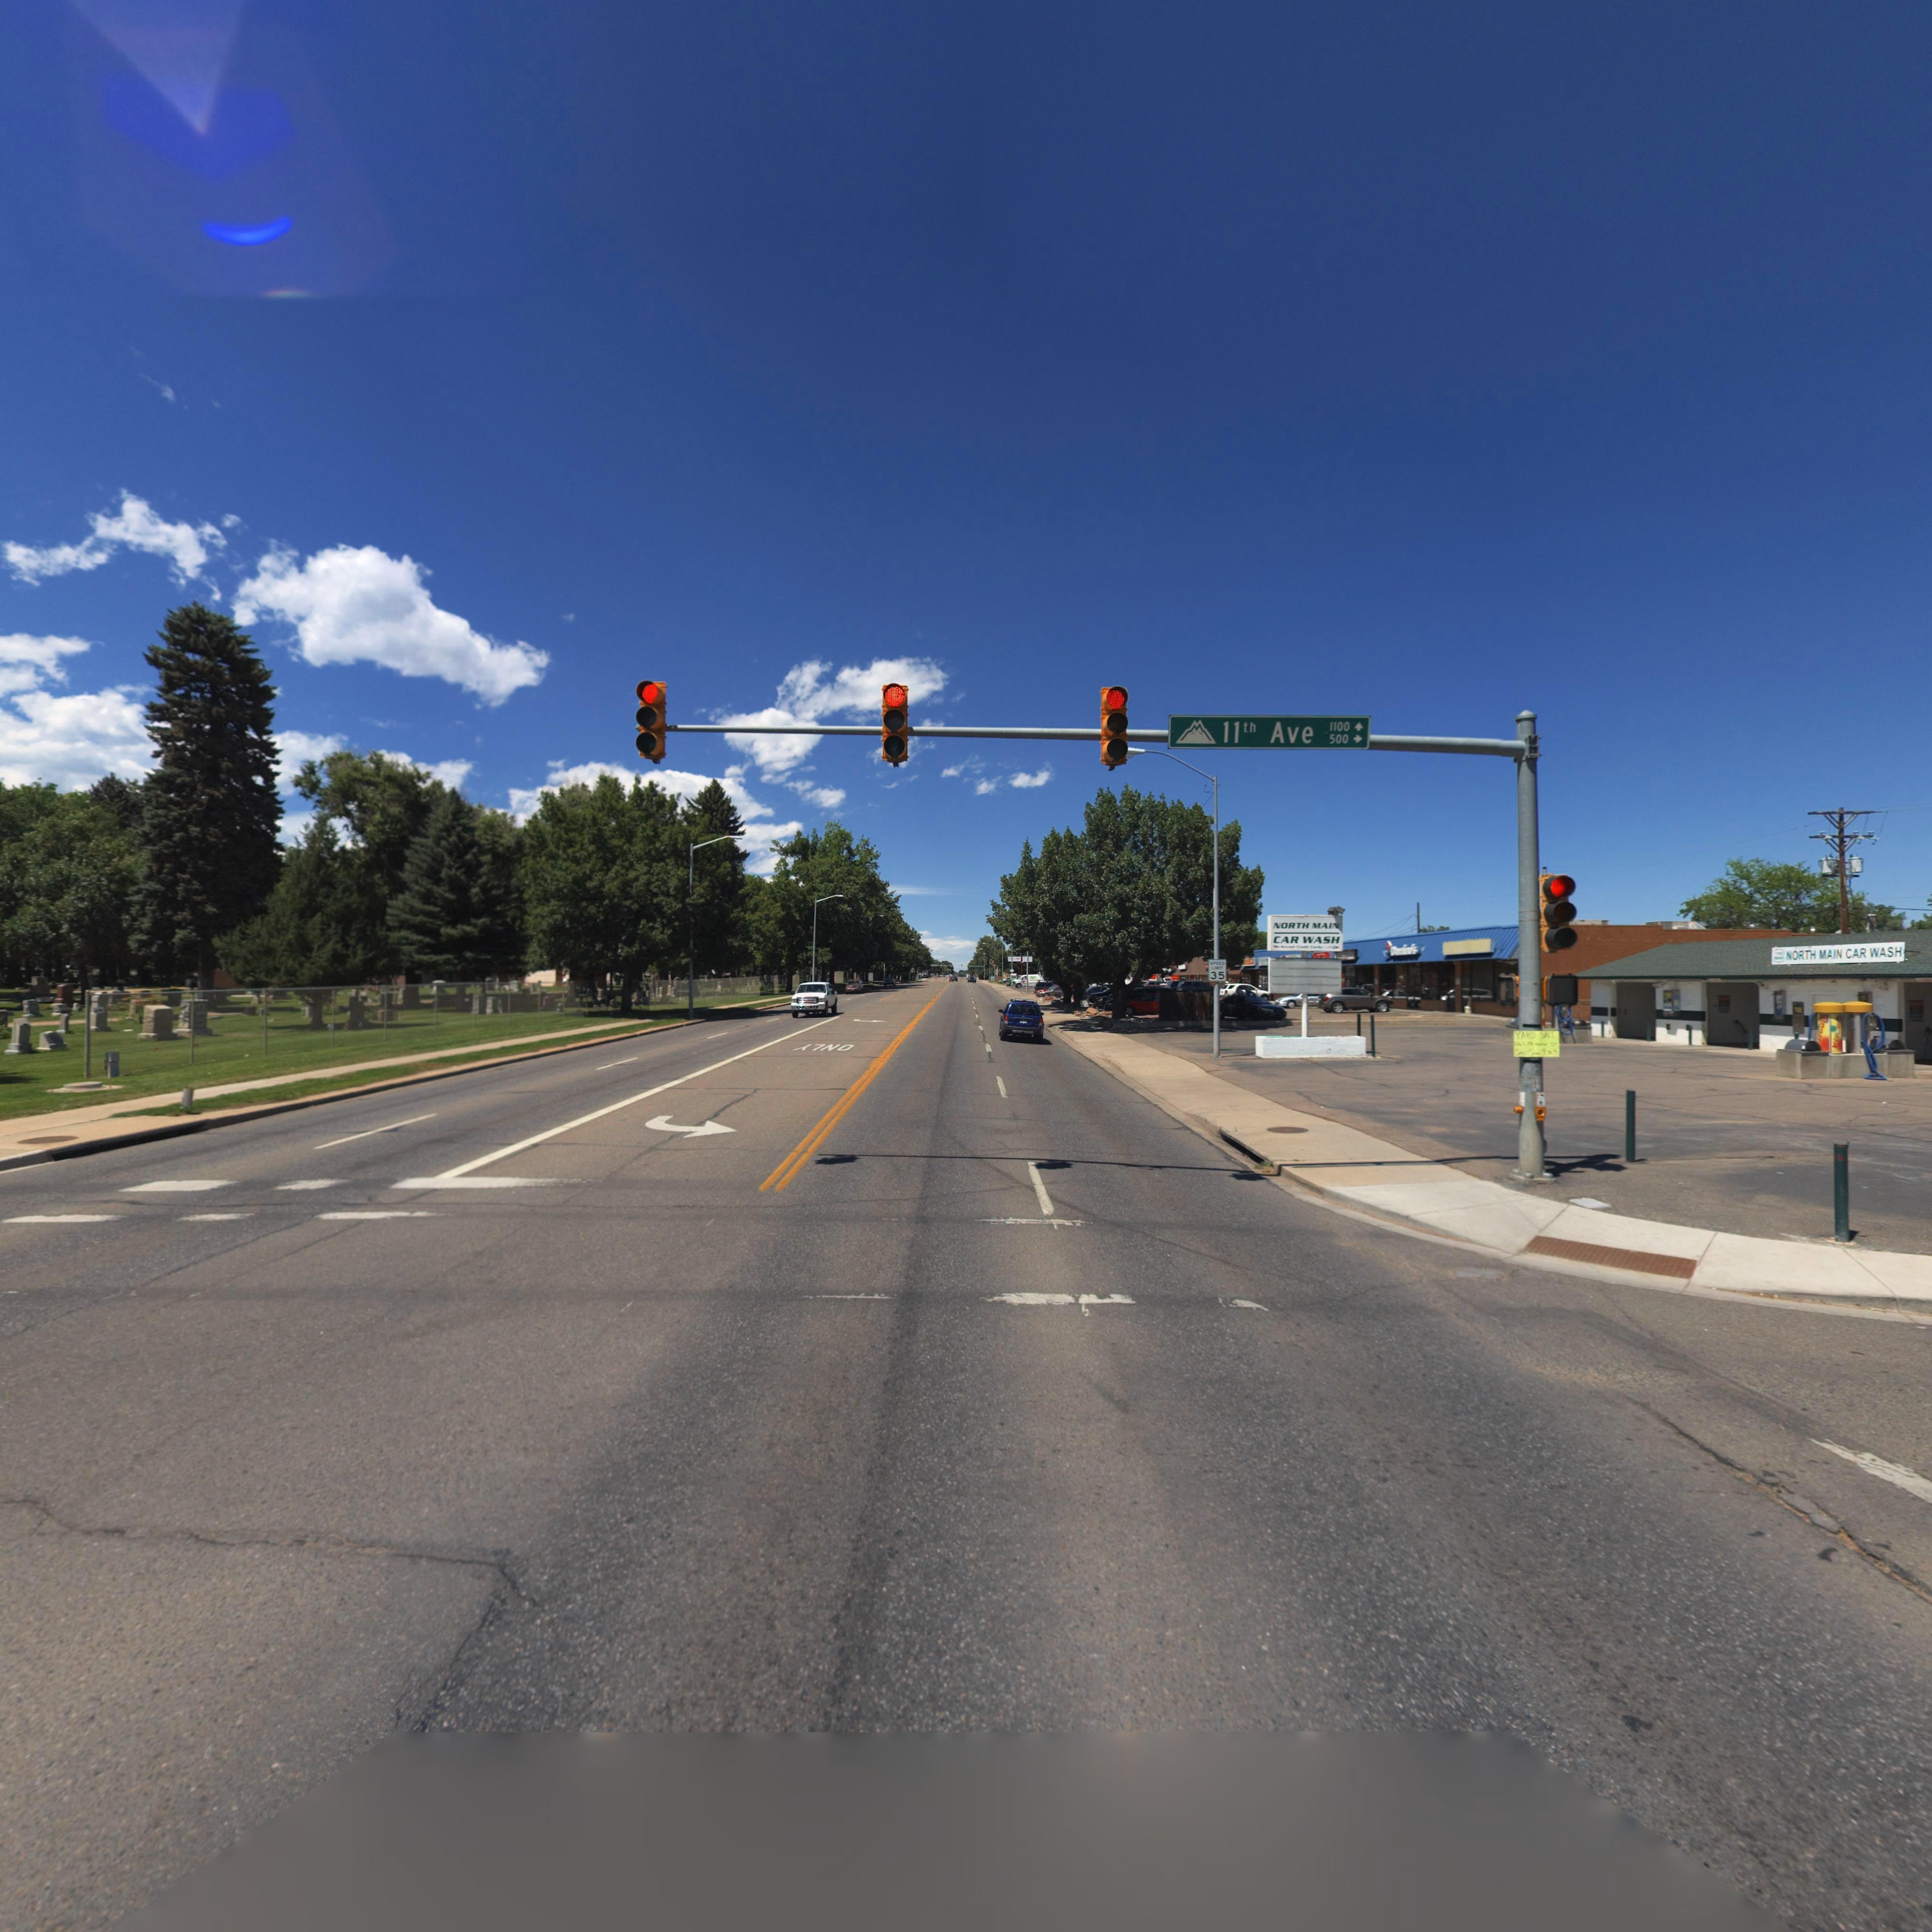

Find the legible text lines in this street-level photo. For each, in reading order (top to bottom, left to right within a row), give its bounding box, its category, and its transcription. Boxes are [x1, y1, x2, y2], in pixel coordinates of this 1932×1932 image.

[1329, 721, 1350, 732] StreetNumberRange: 1100
[1222, 720, 1314, 744] StreetNumberRange: 11th Ave
[1329, 733, 1362, 744] StreetNumberRange: 500->
[1273, 921, 1340, 929] BusinessName: NORTH MAIN
[1273, 936, 1340, 944] BusinessName: CAR WASH
[1390, 942, 1419, 957] BusinessName: D*****'s
[1785, 946, 1903, 961] BusinessName: NORTH MAIN CAR WASH
[1242, 958, 1255, 965] BusinessName: **EE**